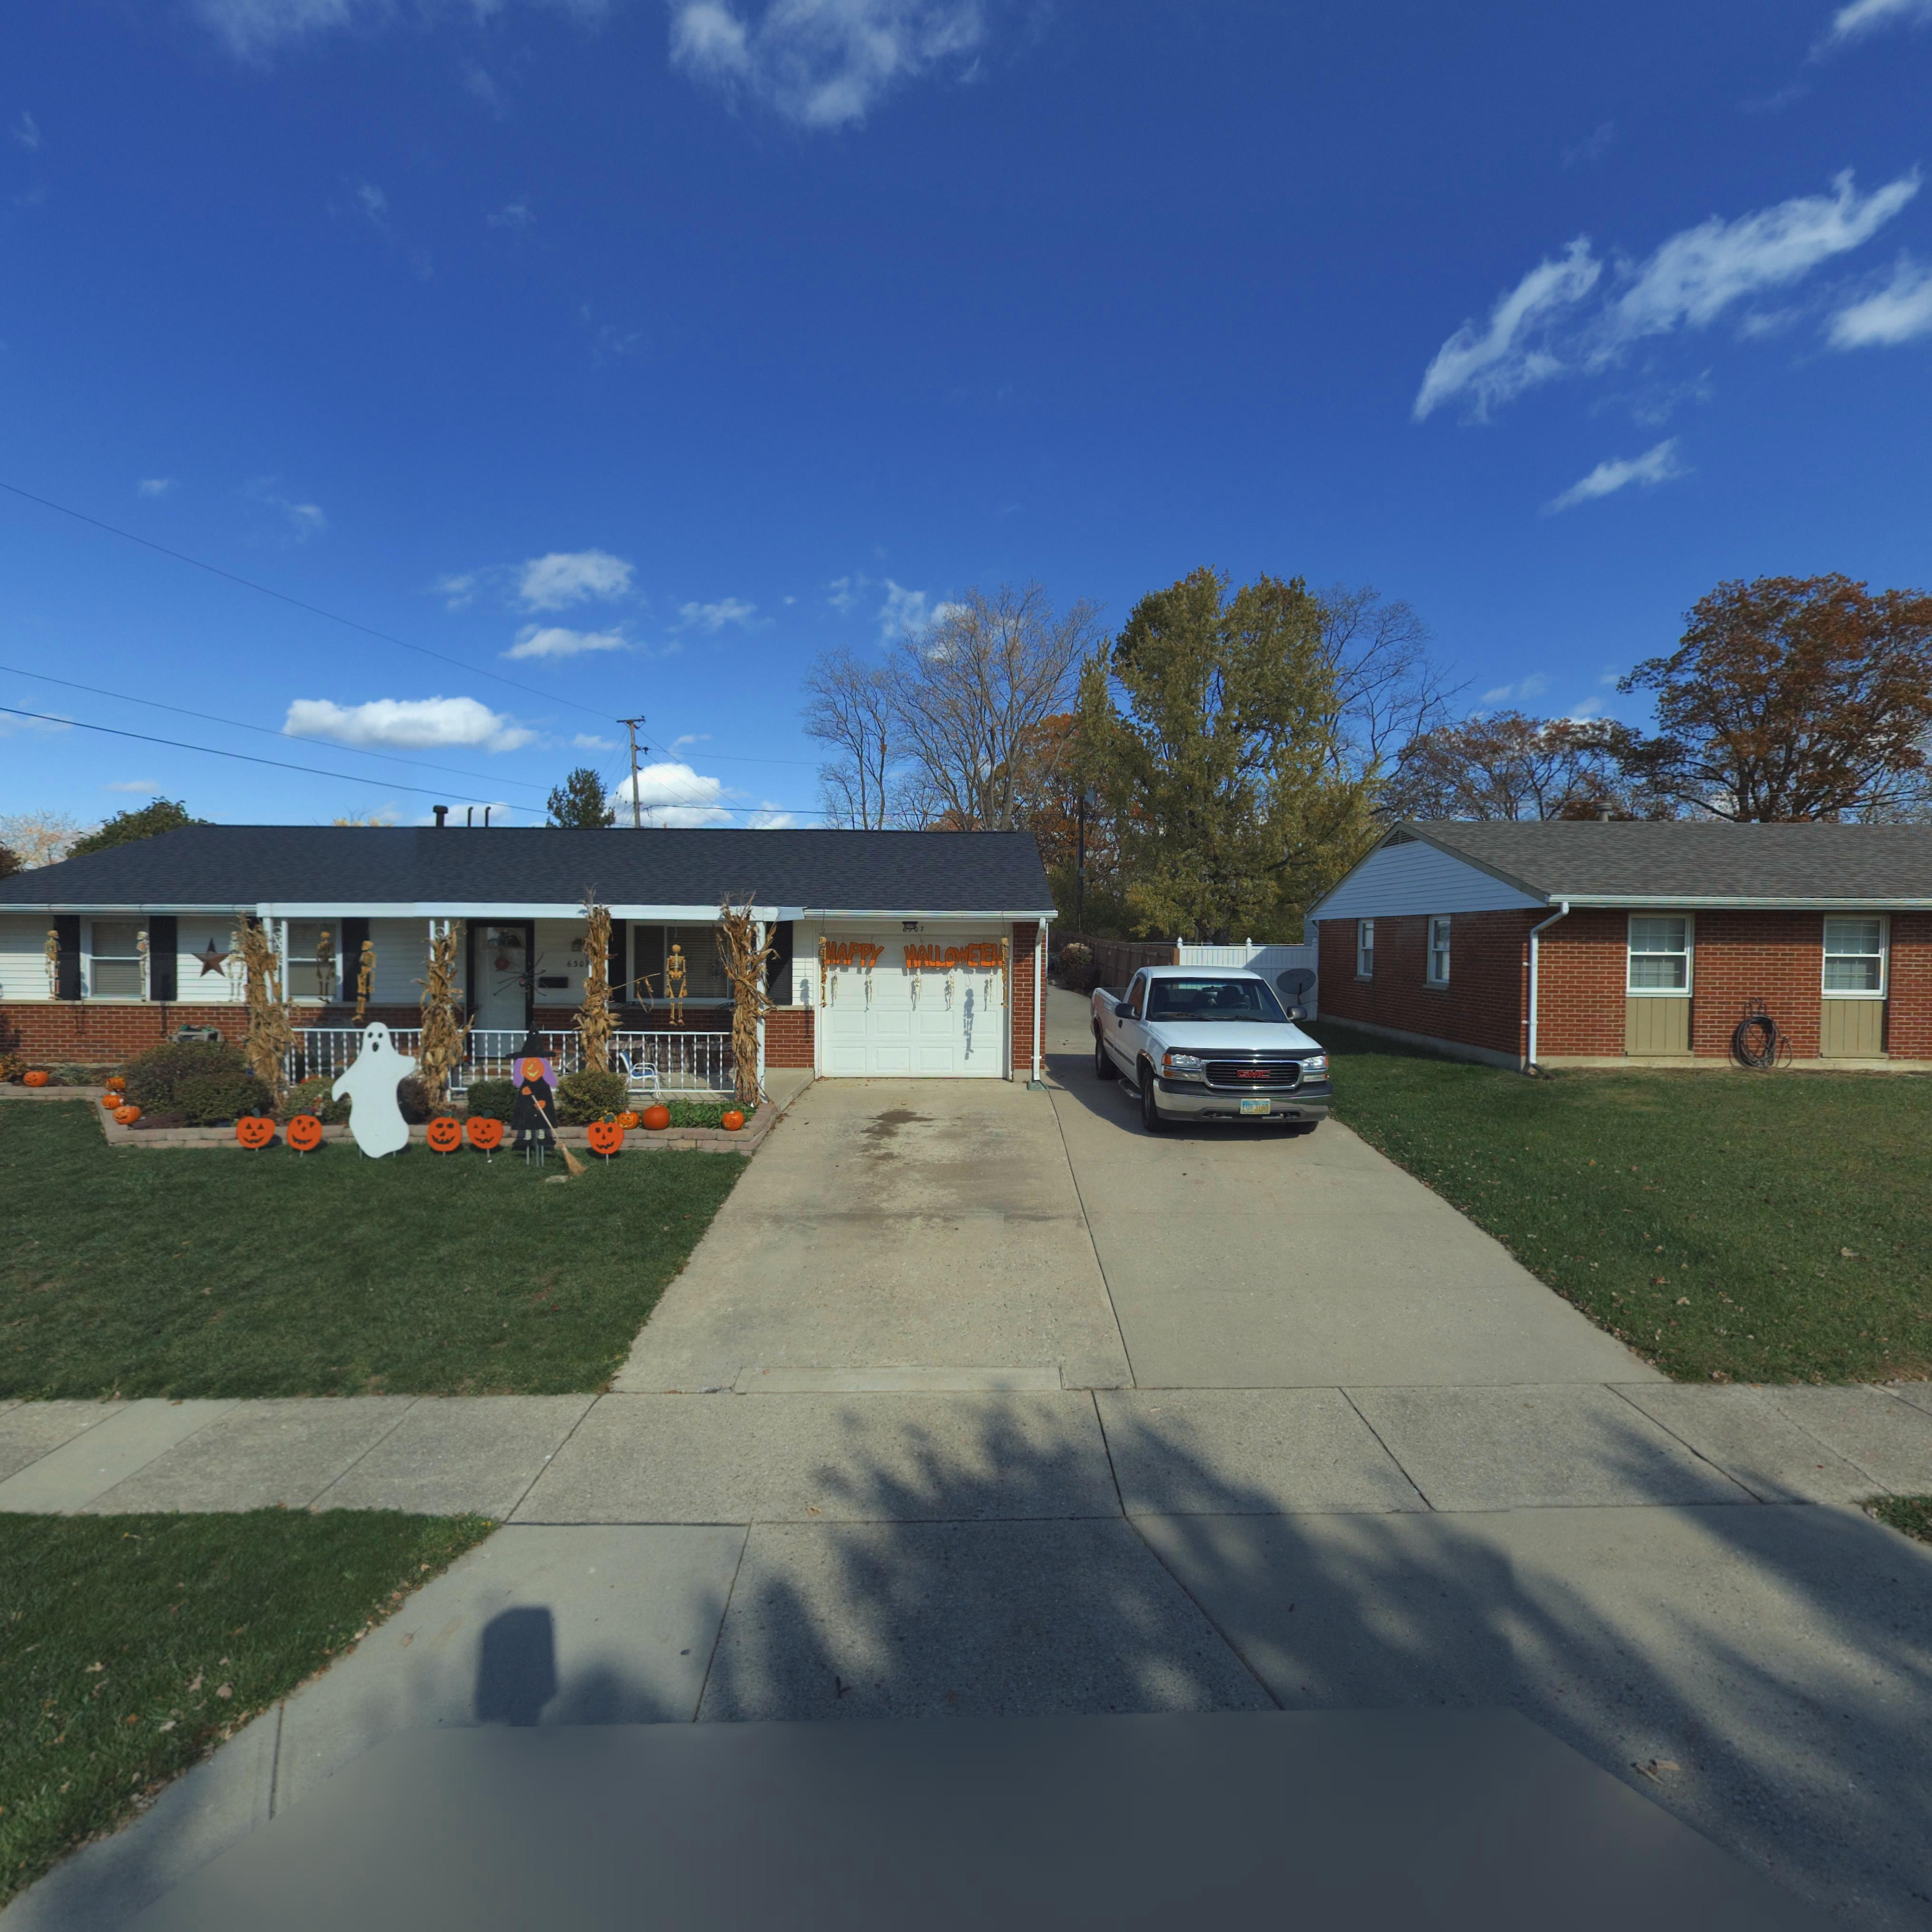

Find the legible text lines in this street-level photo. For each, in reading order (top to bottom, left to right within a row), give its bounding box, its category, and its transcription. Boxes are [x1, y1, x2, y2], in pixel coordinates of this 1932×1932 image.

[914, 926, 925, 933] StreetNumber: 07
[566, 960, 590, 968] StreetNumber: 6307